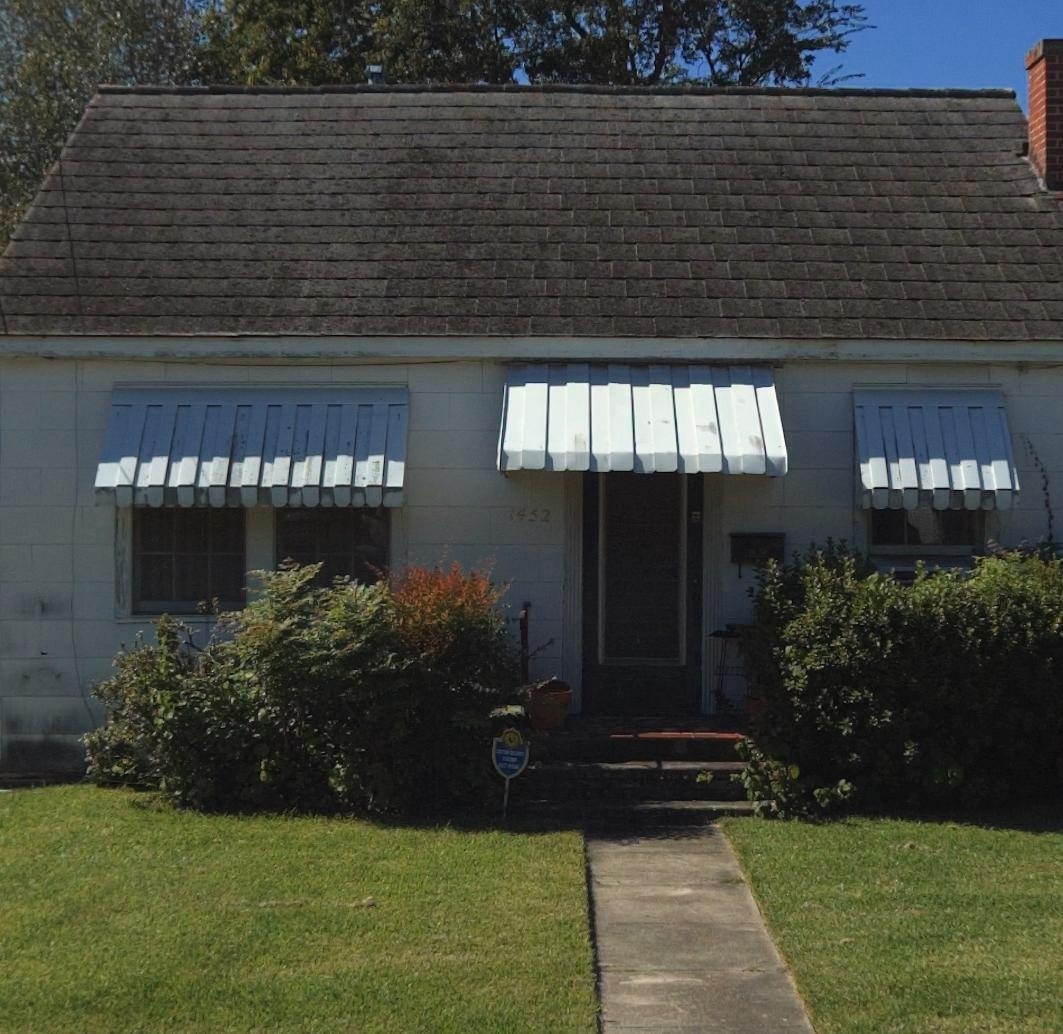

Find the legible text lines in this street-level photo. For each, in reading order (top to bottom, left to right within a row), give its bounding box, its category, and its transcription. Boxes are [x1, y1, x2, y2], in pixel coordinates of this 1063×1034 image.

[507, 505, 553, 524] StreetNumber: 1452